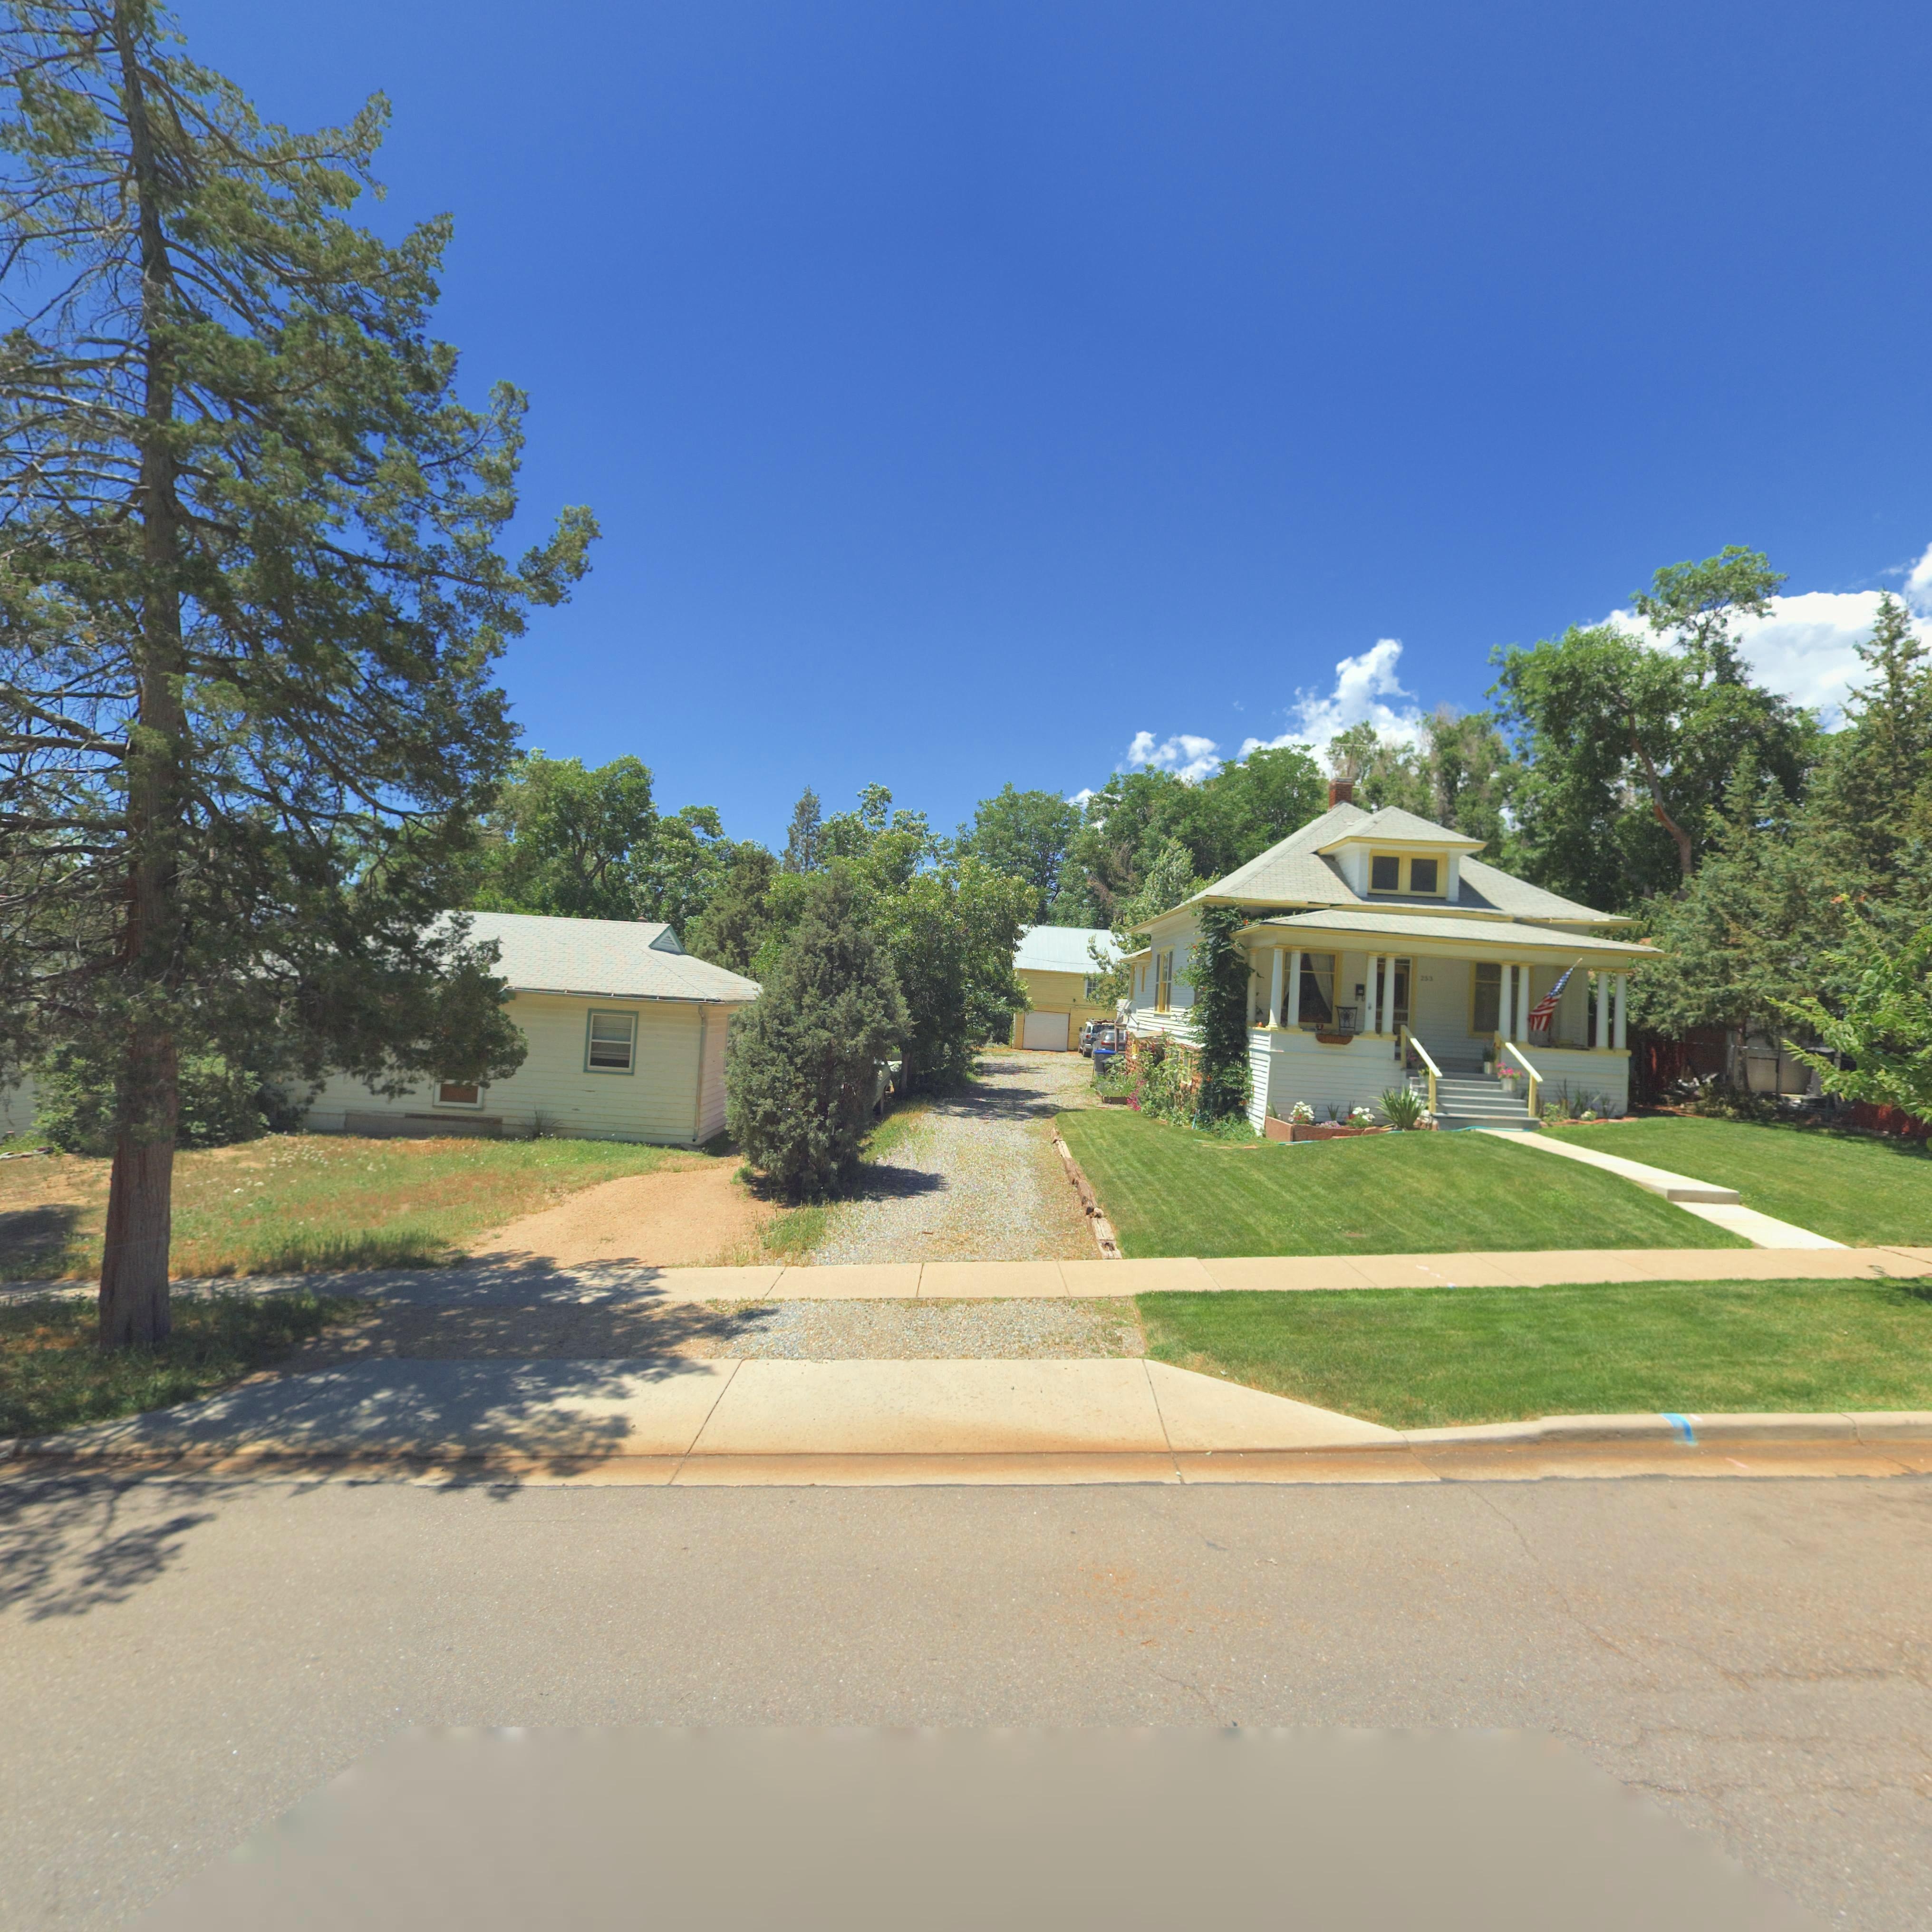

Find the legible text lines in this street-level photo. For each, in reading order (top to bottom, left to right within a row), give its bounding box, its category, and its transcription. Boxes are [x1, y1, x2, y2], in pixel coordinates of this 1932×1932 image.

[1420, 975, 1433, 982] StreetNumber: 253